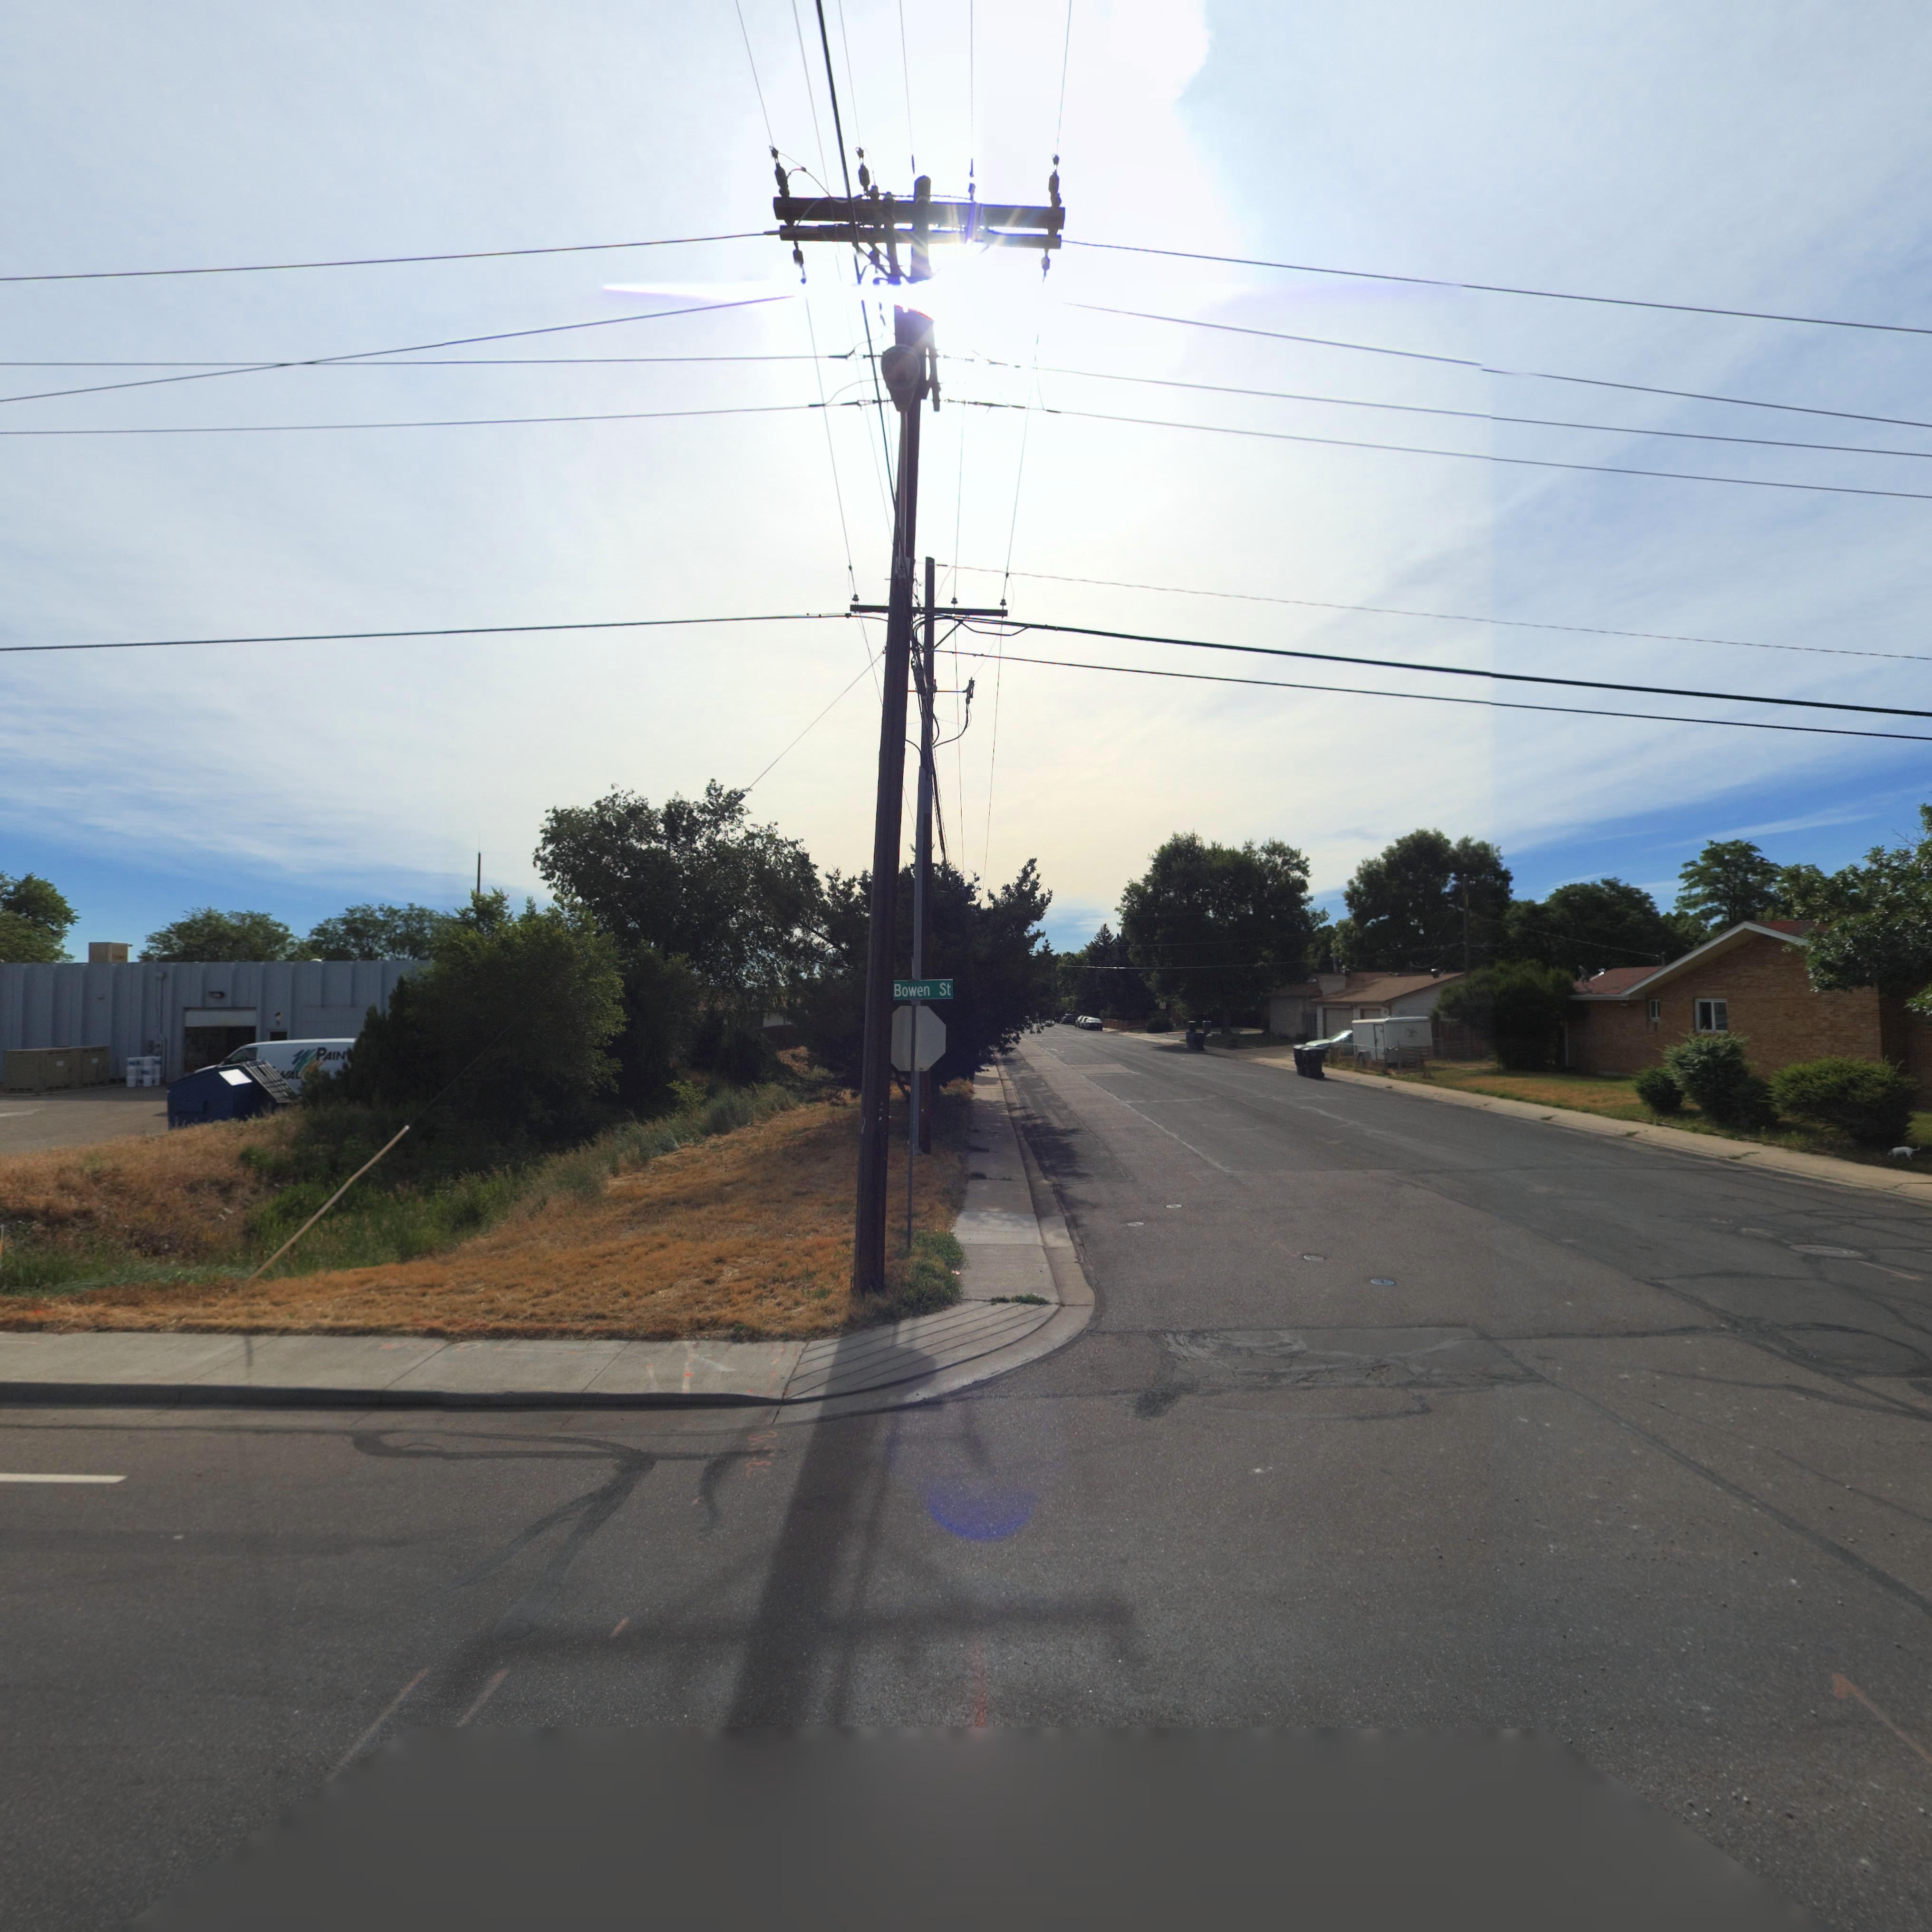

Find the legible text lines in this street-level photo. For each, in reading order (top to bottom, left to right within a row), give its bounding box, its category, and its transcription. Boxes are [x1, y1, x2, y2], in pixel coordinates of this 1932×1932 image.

[893, 982, 952, 997] StreetName: Bowen St